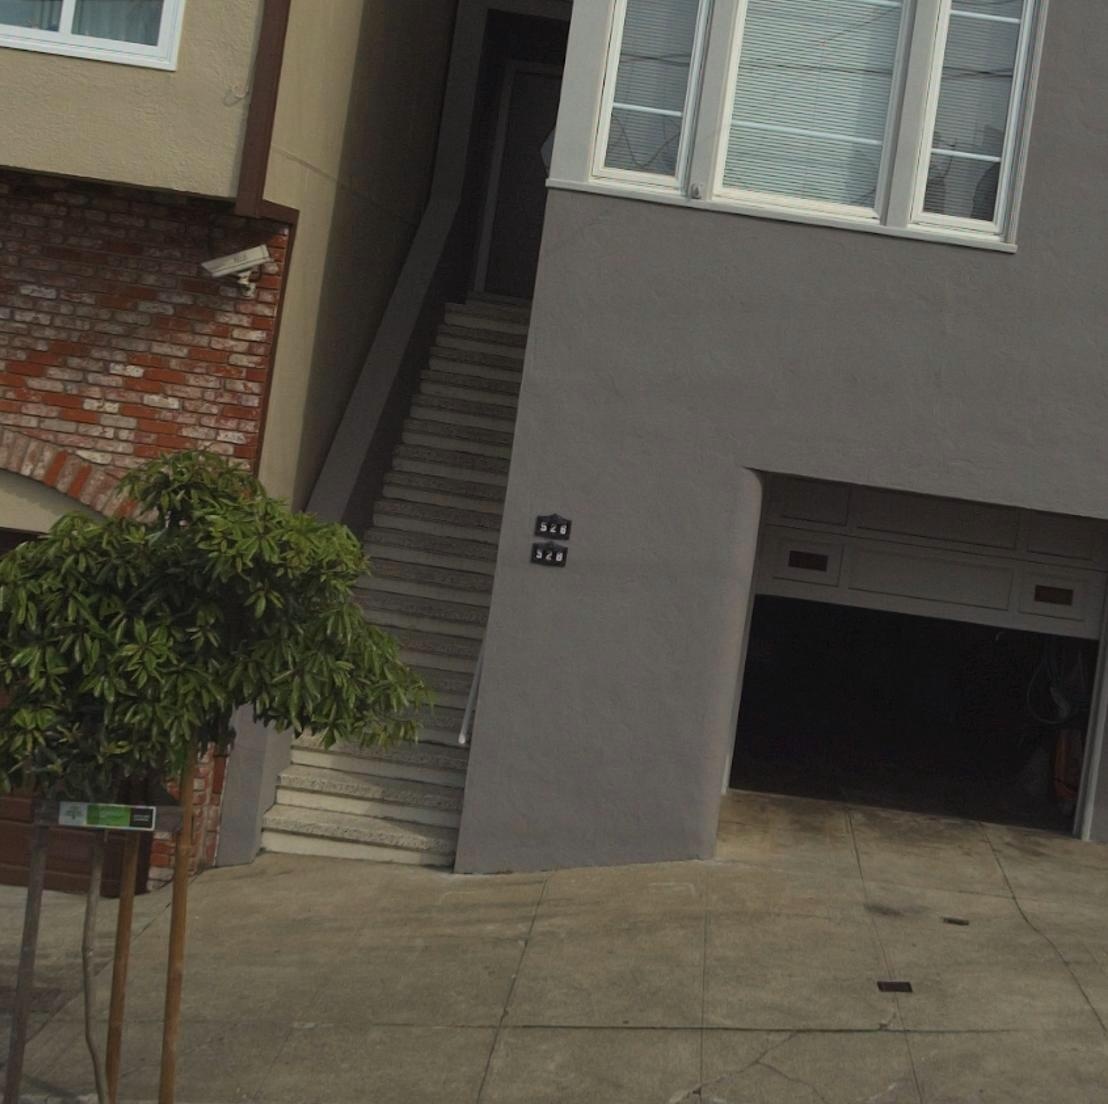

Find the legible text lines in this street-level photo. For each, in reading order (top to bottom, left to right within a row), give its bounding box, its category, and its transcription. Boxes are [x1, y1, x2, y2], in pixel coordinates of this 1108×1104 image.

[538, 521, 569, 537] StreetNumber: 526
[534, 547, 565, 563] StreetNumber: 528